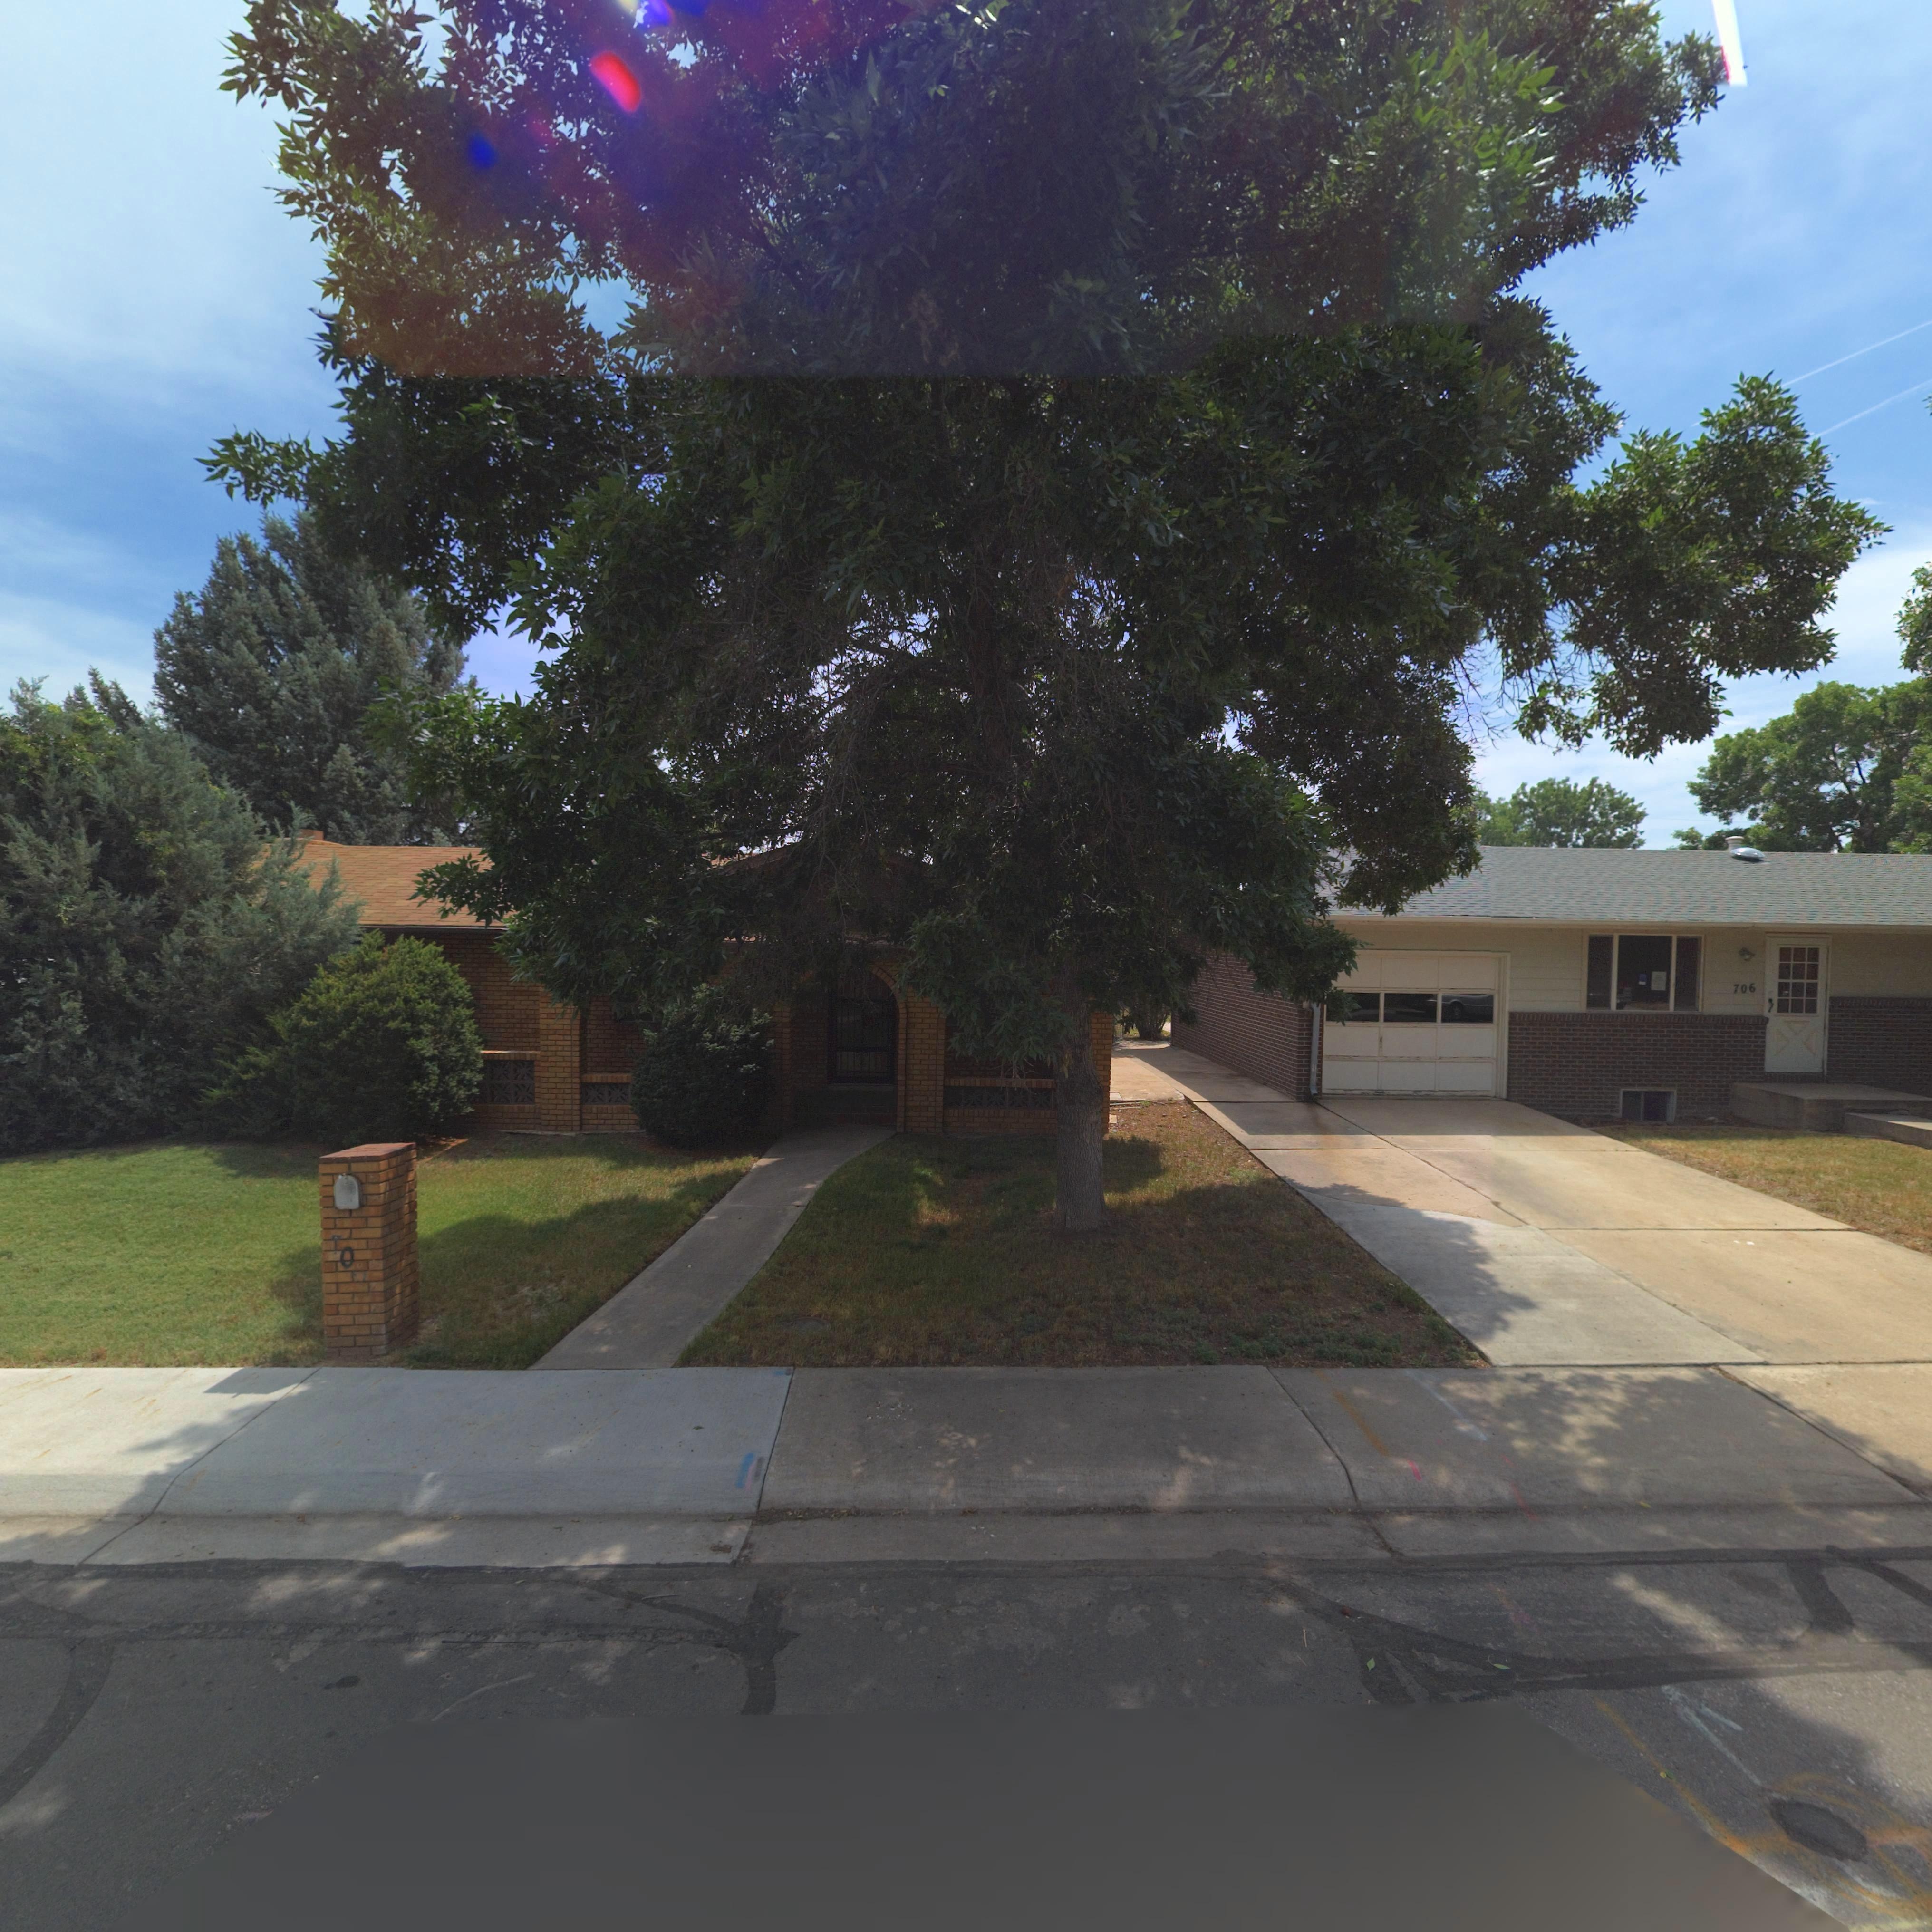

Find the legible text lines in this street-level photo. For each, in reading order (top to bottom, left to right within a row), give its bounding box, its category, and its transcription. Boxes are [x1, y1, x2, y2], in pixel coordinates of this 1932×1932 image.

[1733, 982, 1756, 995] StreetNumber: 706
[329, 1233, 368, 1291] StreetNumber: *0*